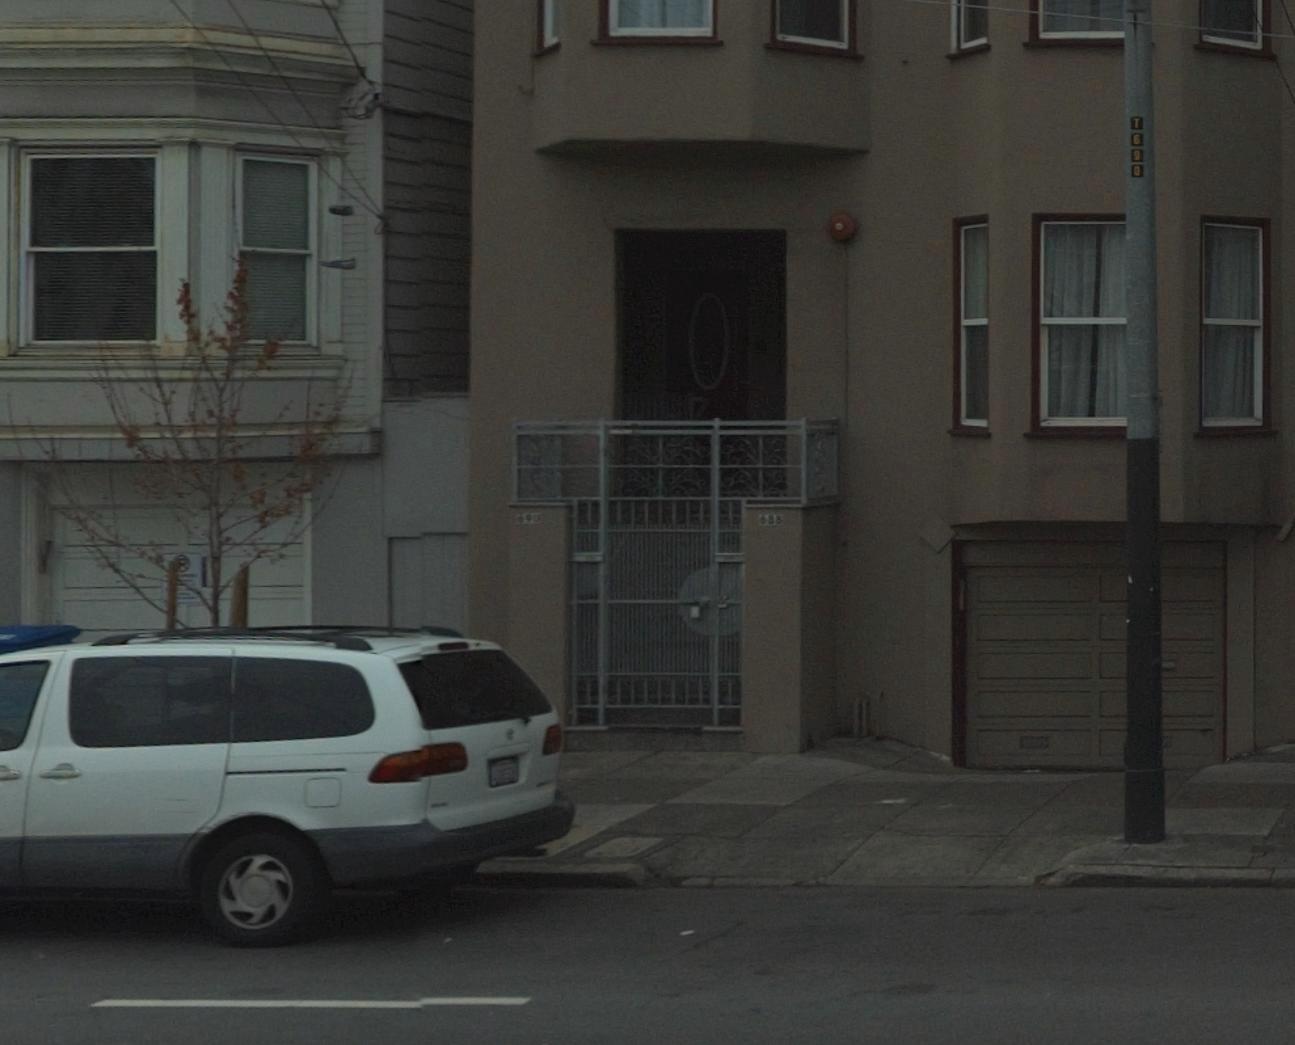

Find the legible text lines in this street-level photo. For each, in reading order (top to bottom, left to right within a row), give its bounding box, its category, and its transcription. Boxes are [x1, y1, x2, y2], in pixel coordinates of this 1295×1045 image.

[1131, 115, 1142, 177] None: T690
[516, 512, 542, 524] StreetNumber: 690
[760, 514, 782, 525] StreetNumber: 688